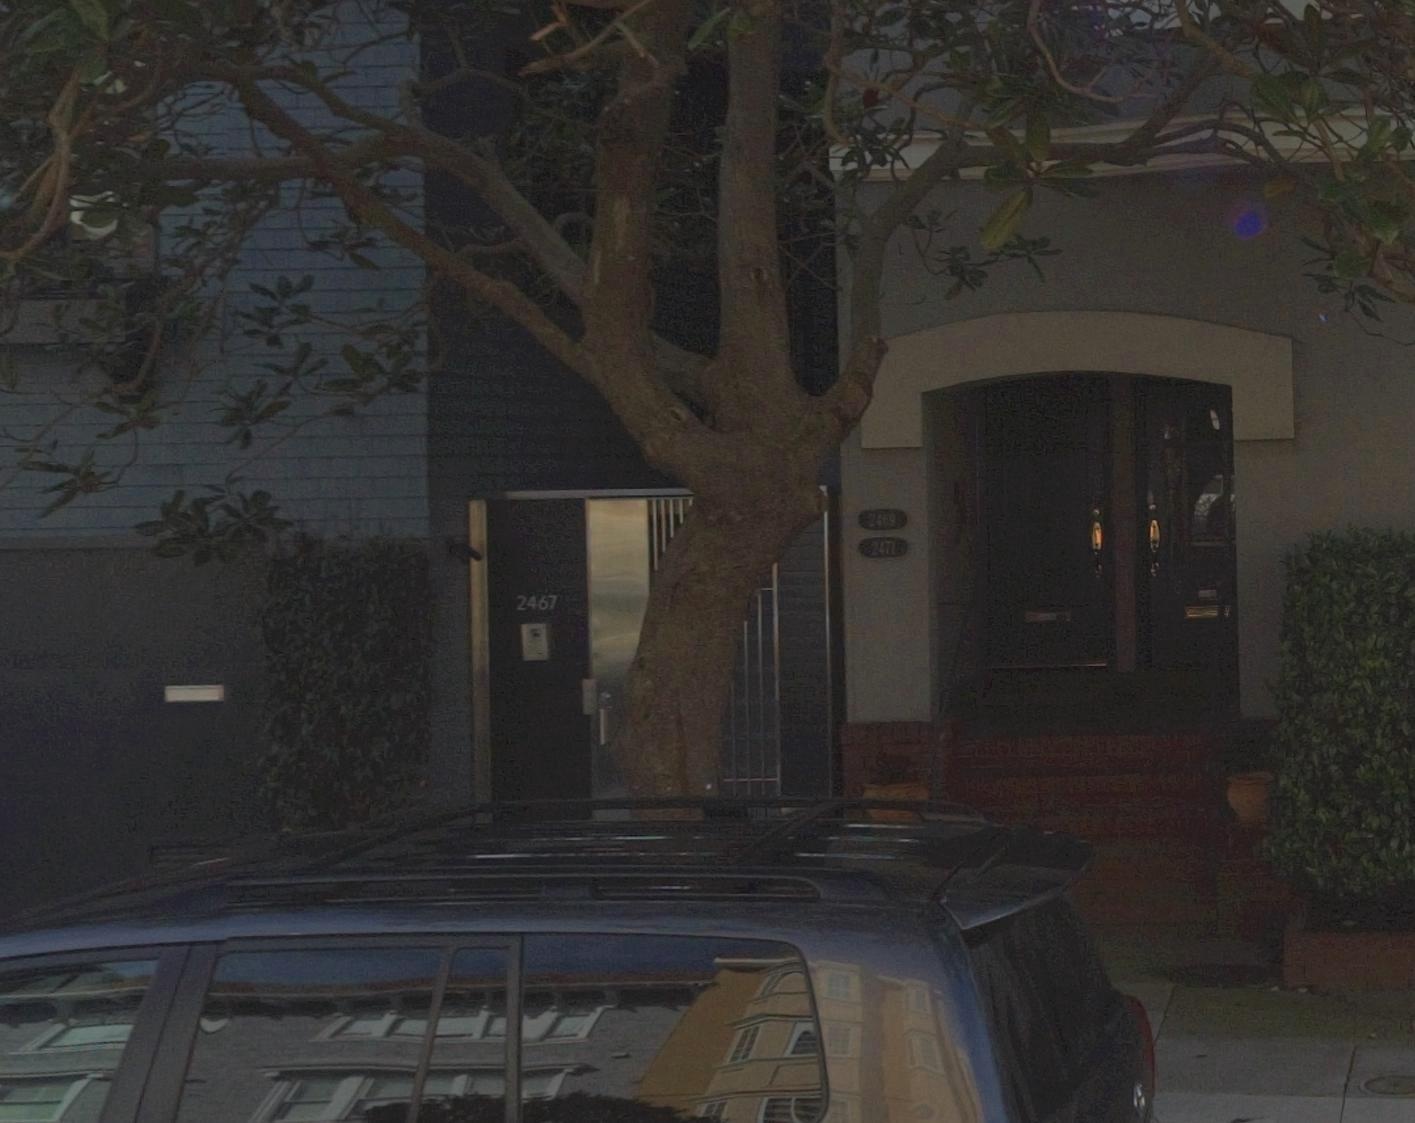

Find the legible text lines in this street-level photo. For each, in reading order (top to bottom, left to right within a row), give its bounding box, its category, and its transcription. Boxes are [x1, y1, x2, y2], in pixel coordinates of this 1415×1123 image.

[865, 511, 898, 529] StreetNumber: 2469
[870, 538, 897, 558] StreetNumber: 2471
[514, 593, 560, 613] StreetNumber: 2467